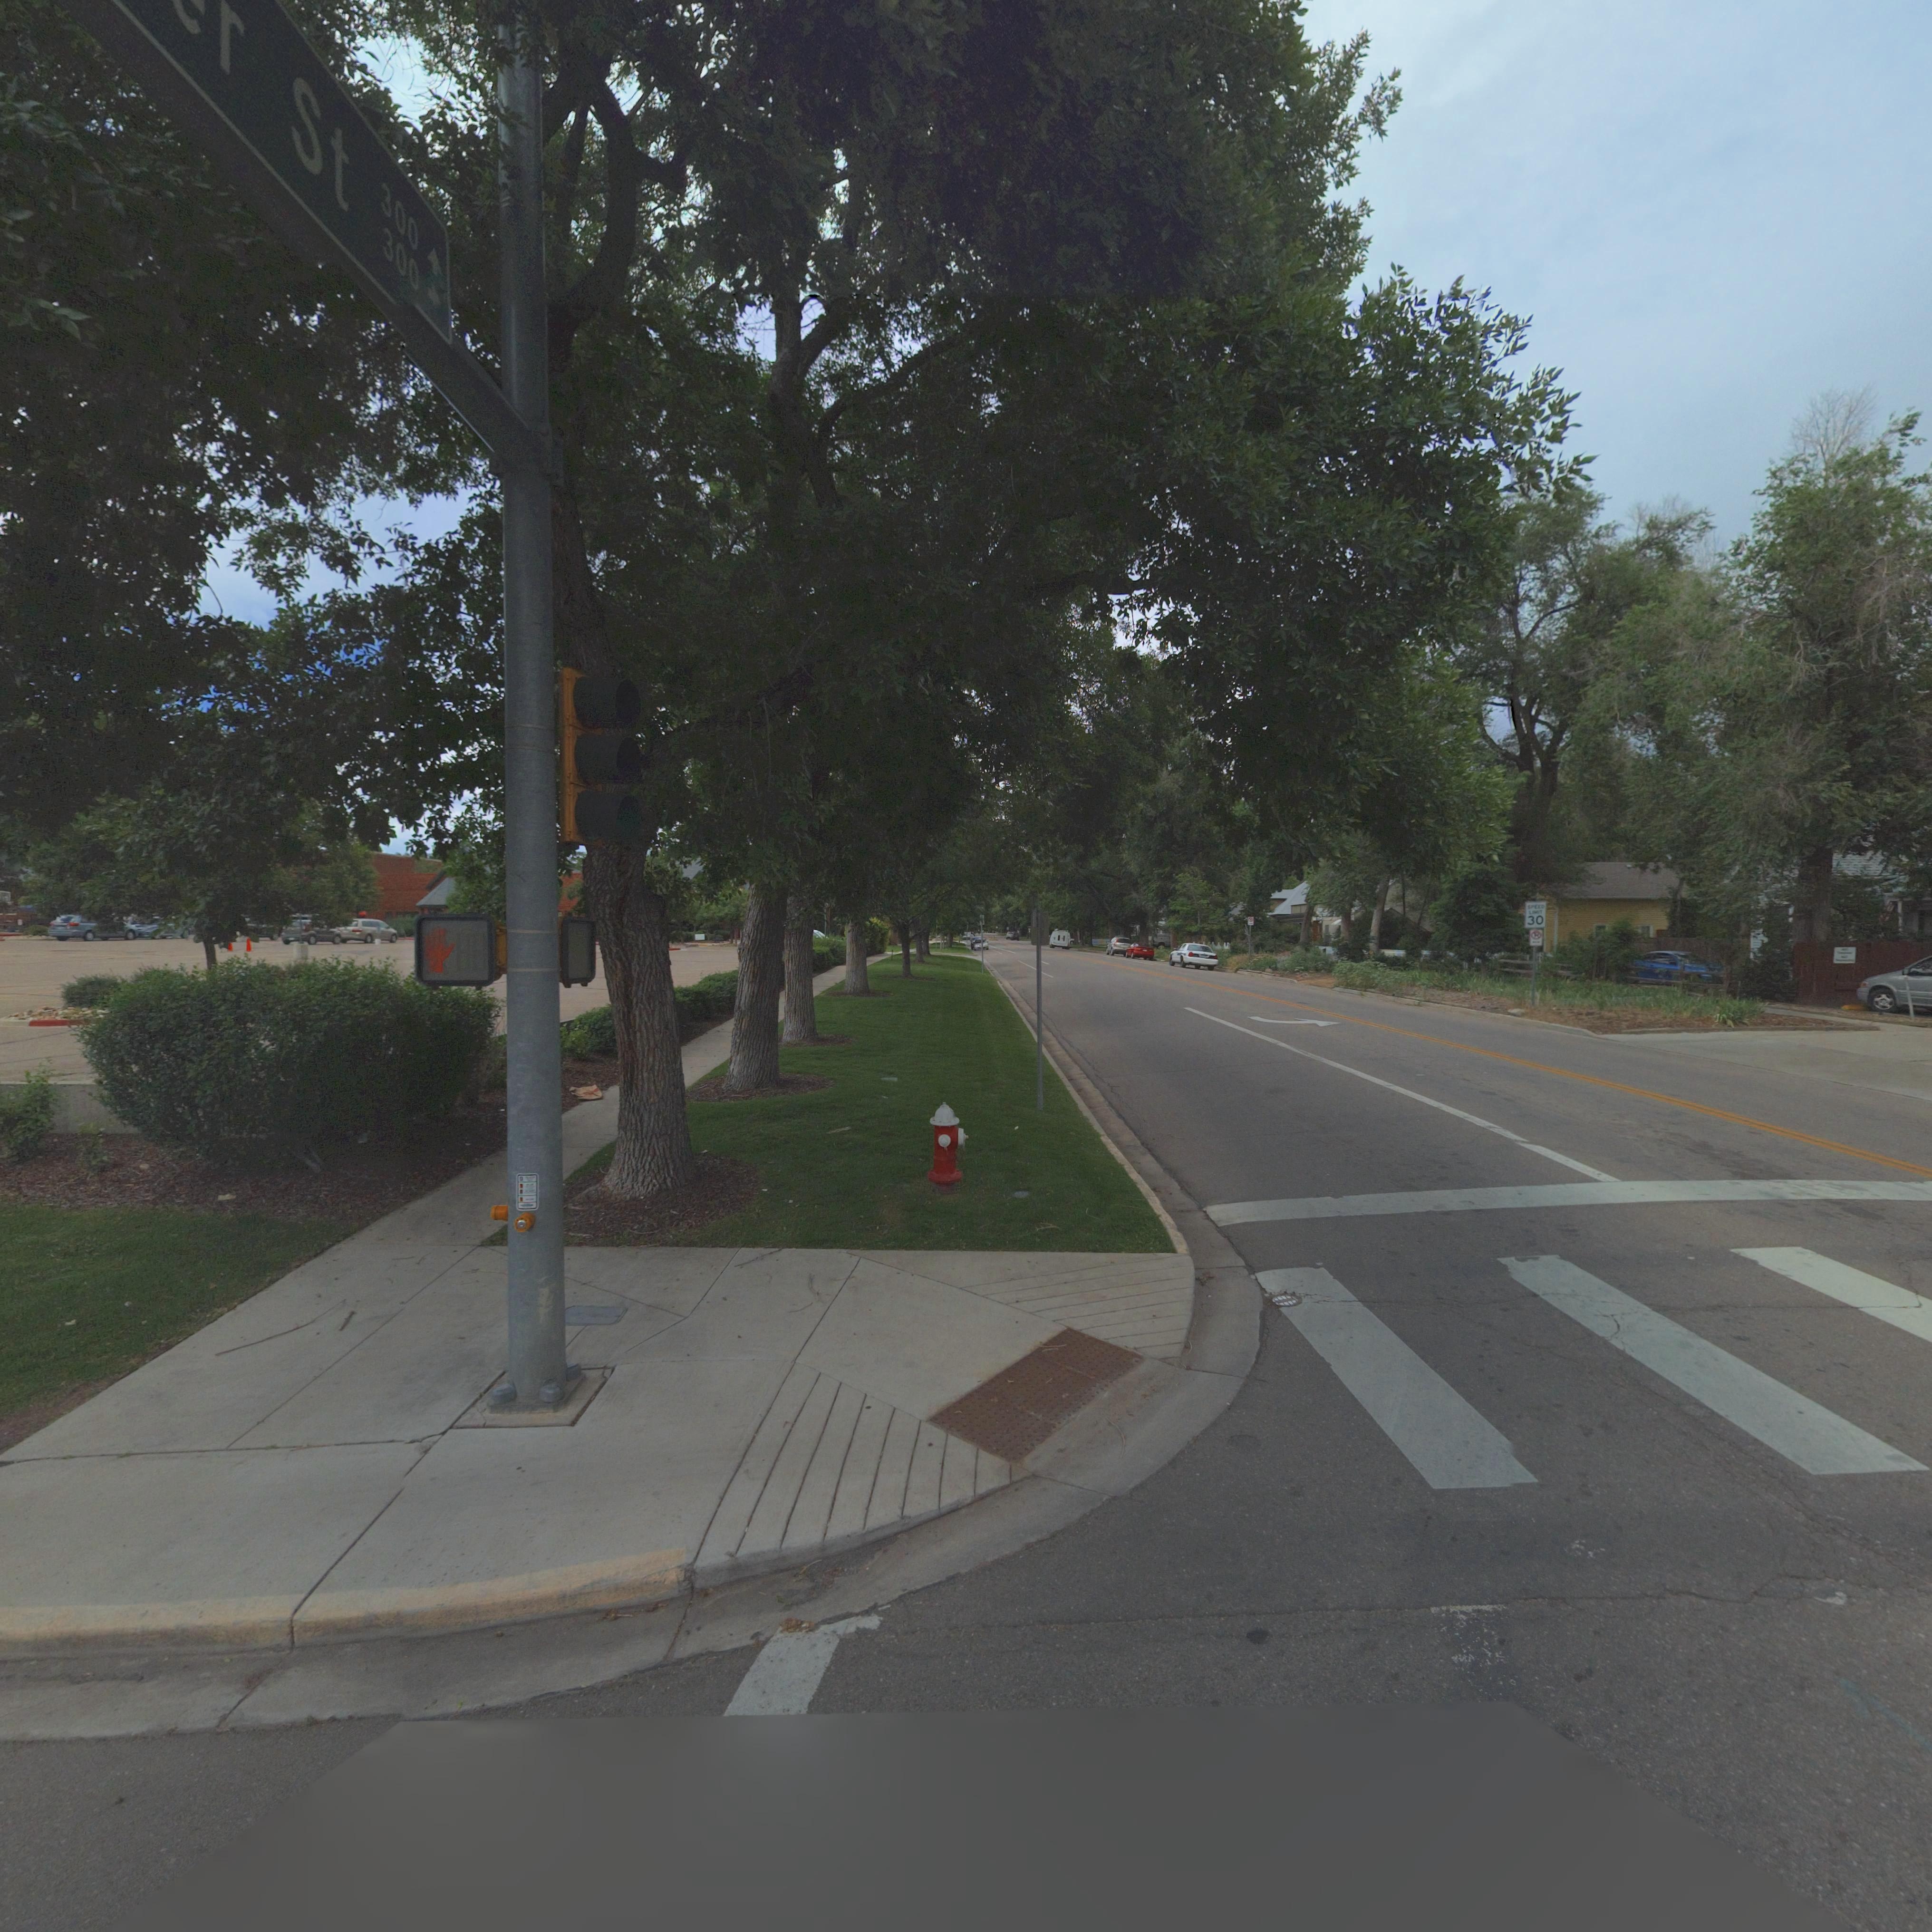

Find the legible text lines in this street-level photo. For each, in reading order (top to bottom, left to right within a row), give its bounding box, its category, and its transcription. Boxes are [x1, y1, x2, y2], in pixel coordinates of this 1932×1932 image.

[217, 0, 350, 215] StreetName: r St
[381, 181, 420, 252] StreetNumberRange: 300
[384, 225, 443, 309] StreetNumberRange: 300->